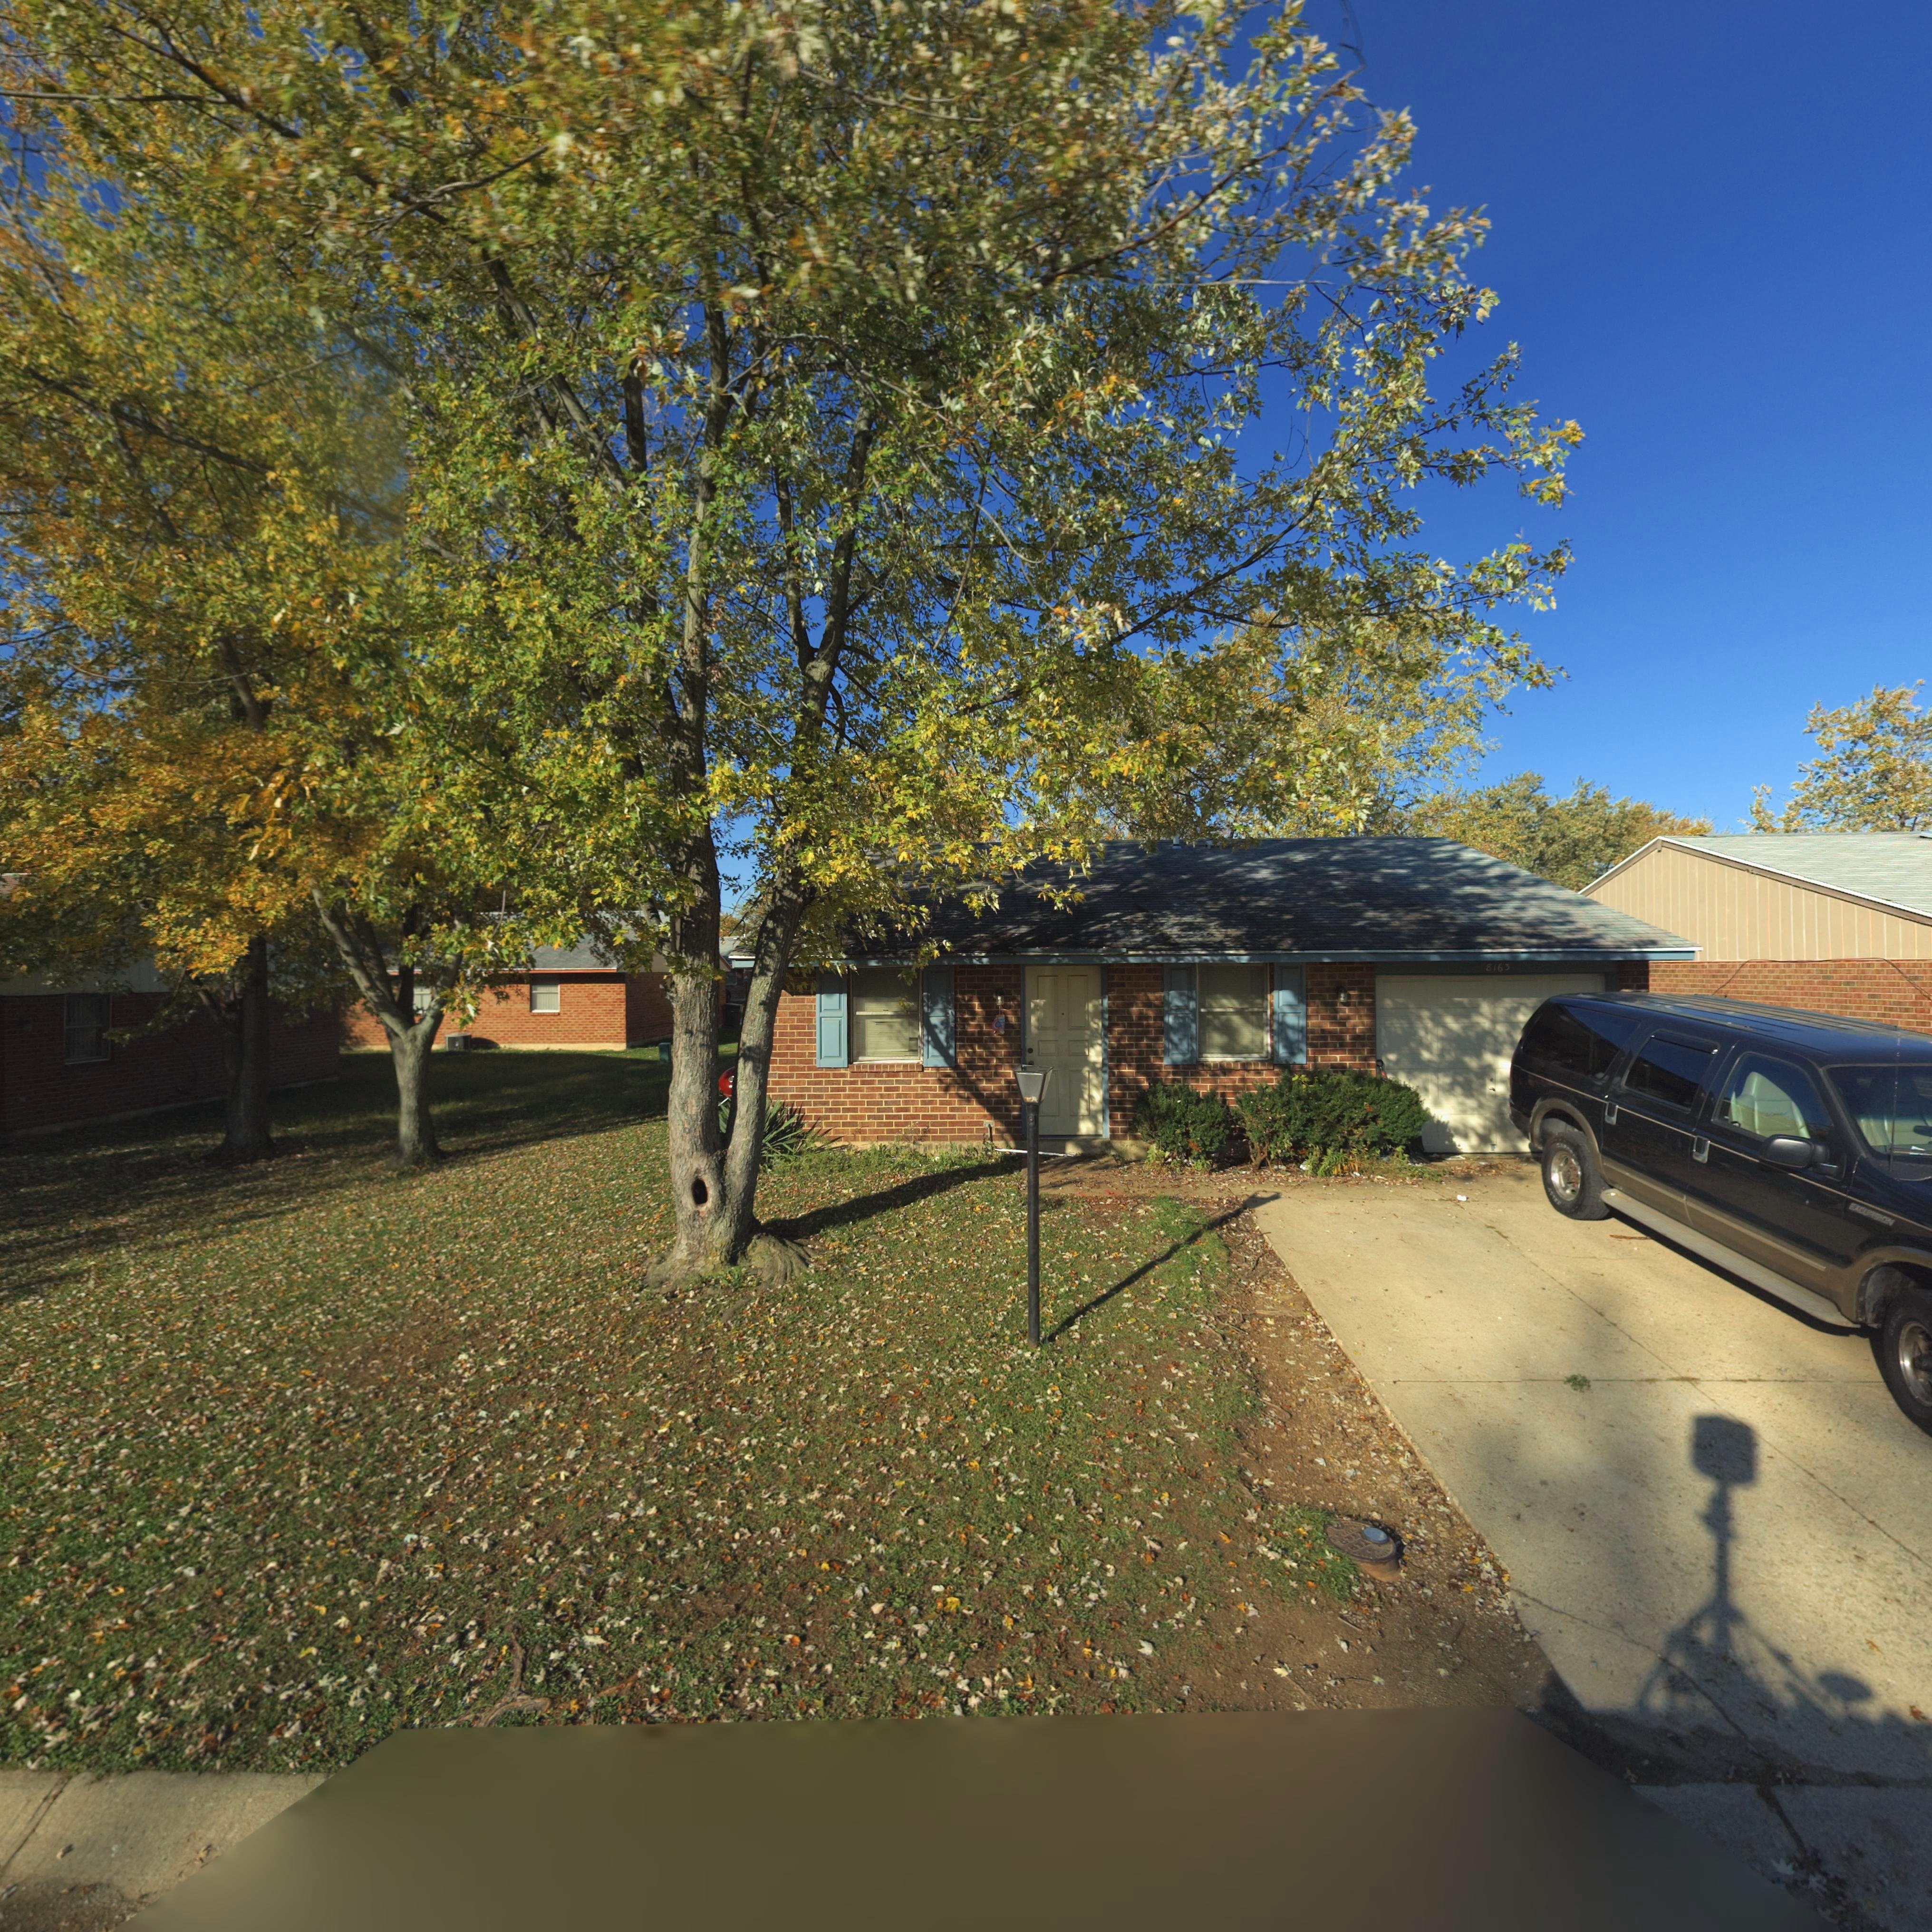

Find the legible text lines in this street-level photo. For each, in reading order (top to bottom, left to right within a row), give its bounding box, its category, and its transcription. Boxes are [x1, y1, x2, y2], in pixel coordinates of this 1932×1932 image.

[1484, 962, 1512, 973] StreetNumber: 8163